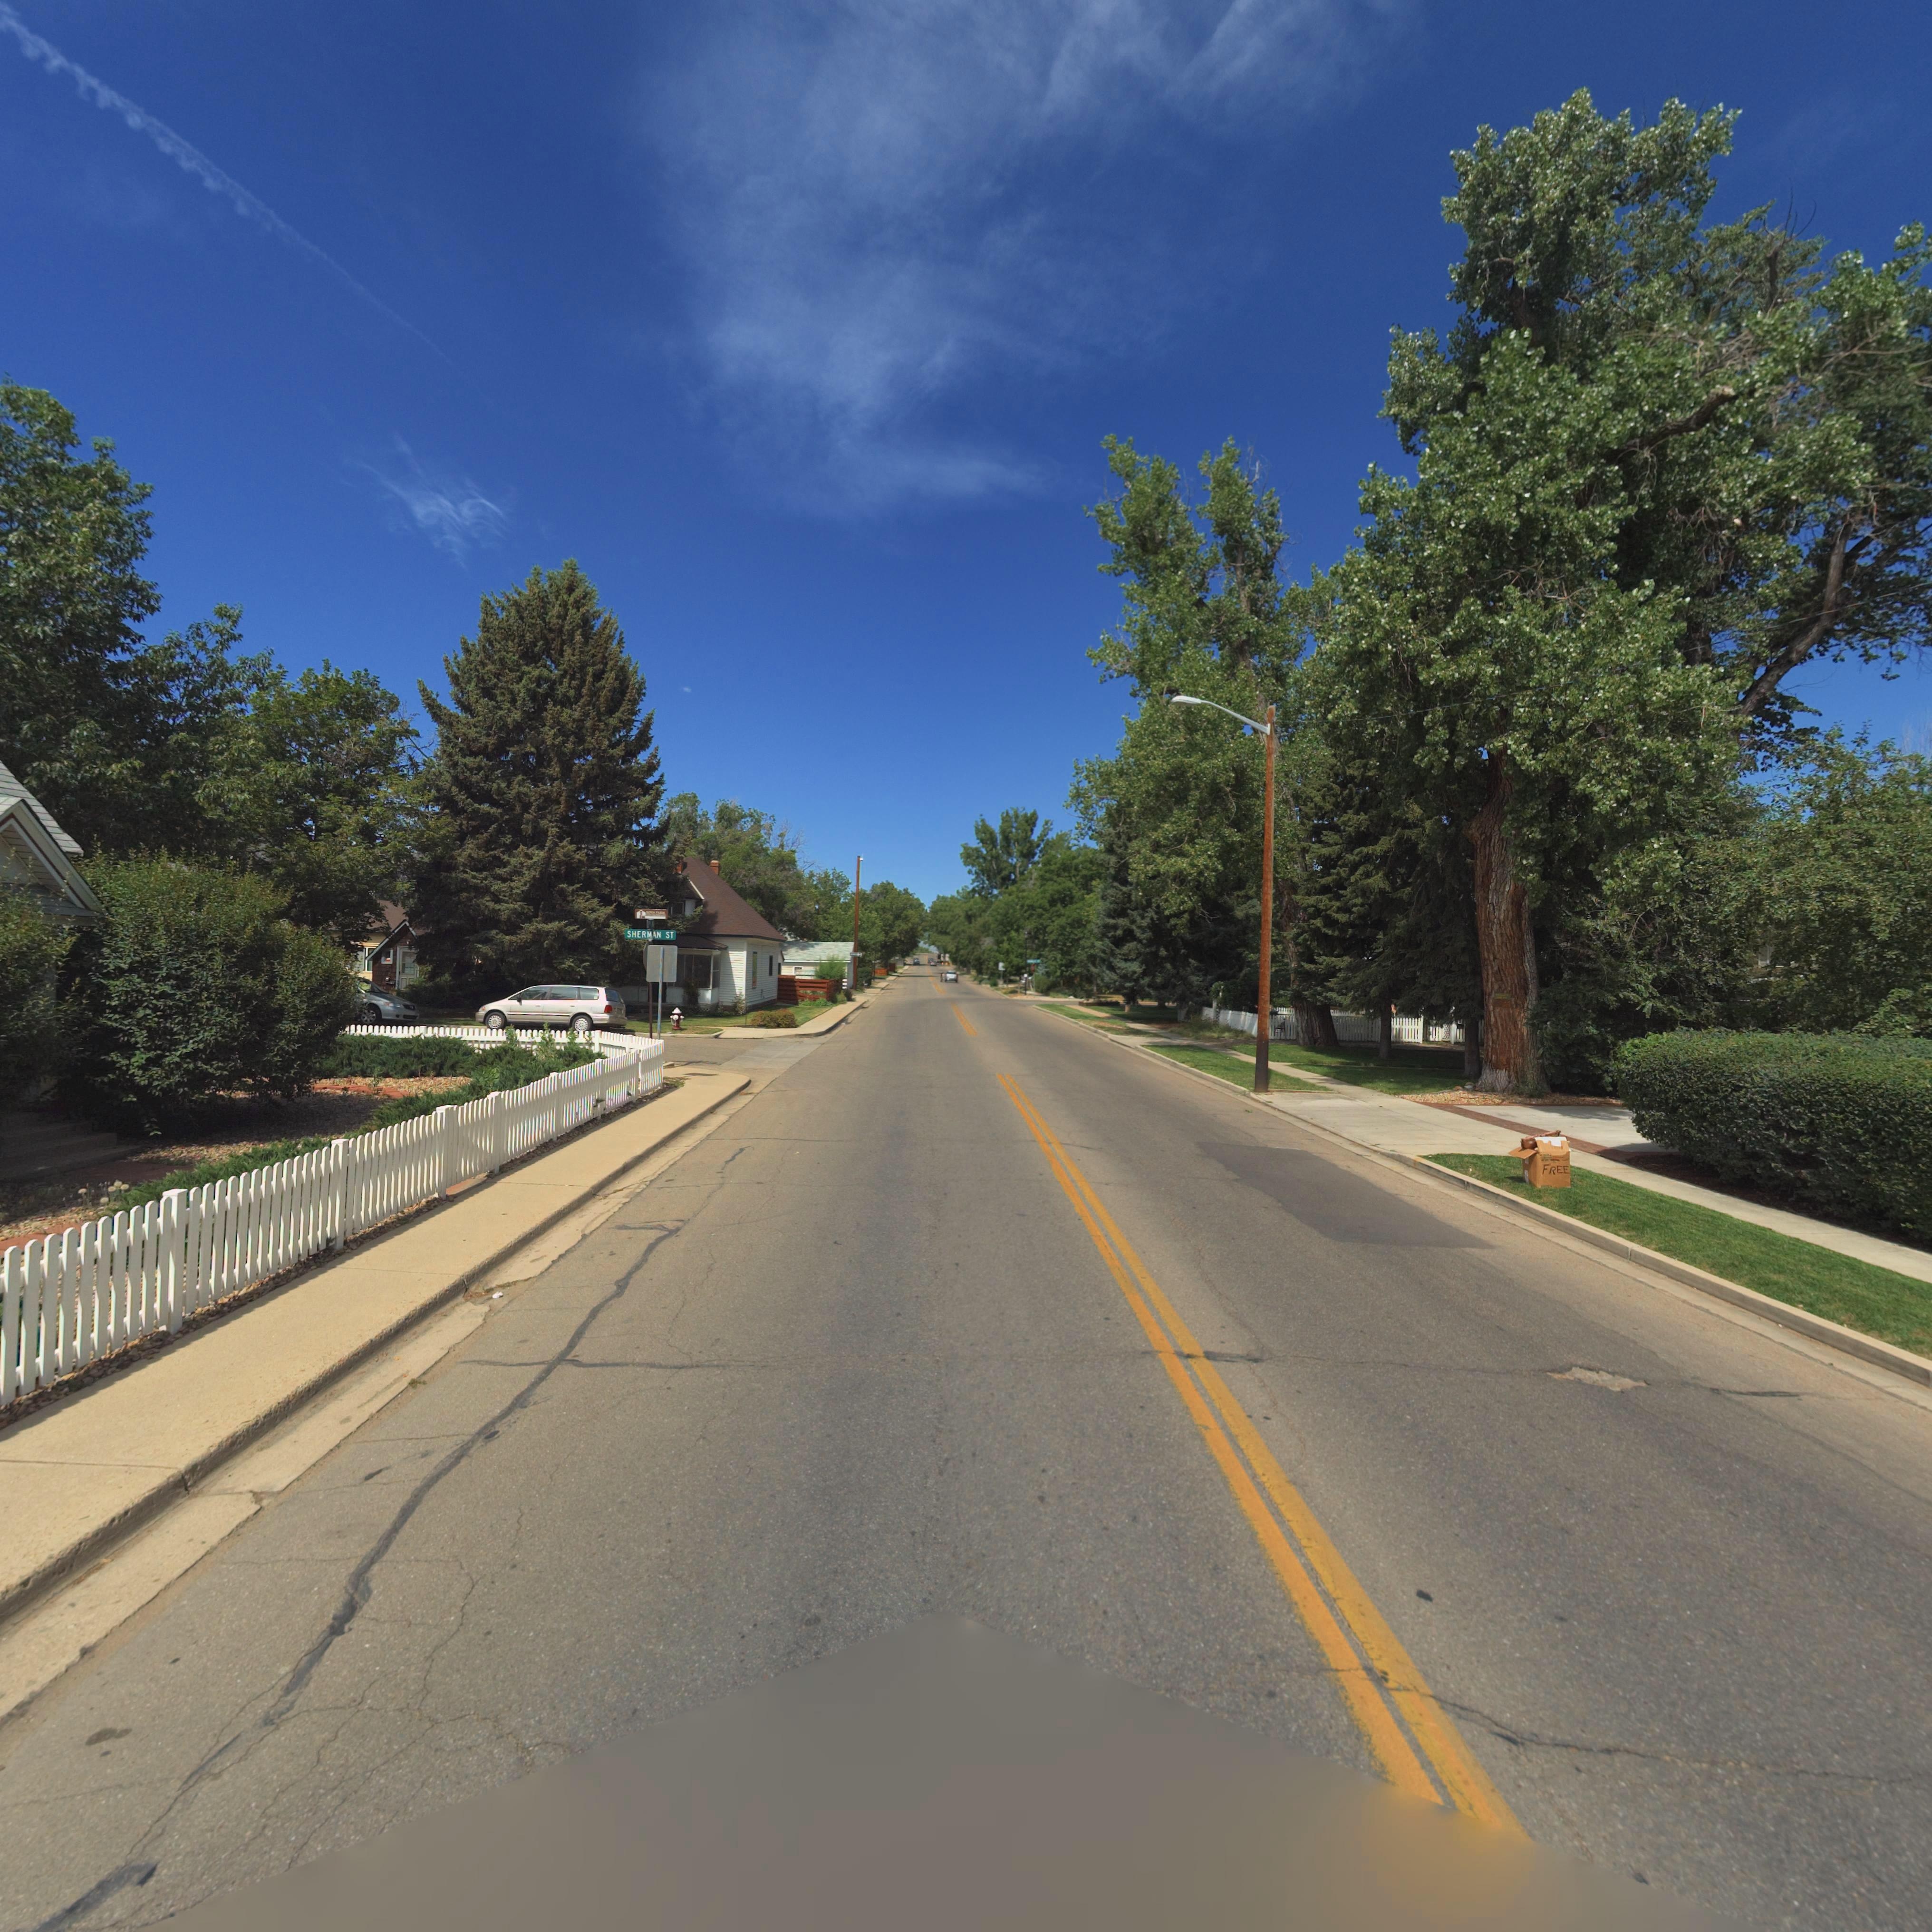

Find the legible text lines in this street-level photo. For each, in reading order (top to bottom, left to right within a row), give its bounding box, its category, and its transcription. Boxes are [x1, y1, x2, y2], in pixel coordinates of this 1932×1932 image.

[627, 930, 674, 938] StreetName: SHERMAN ST
[1275, 1028, 1284, 1032] StreetNumber: 1*1*